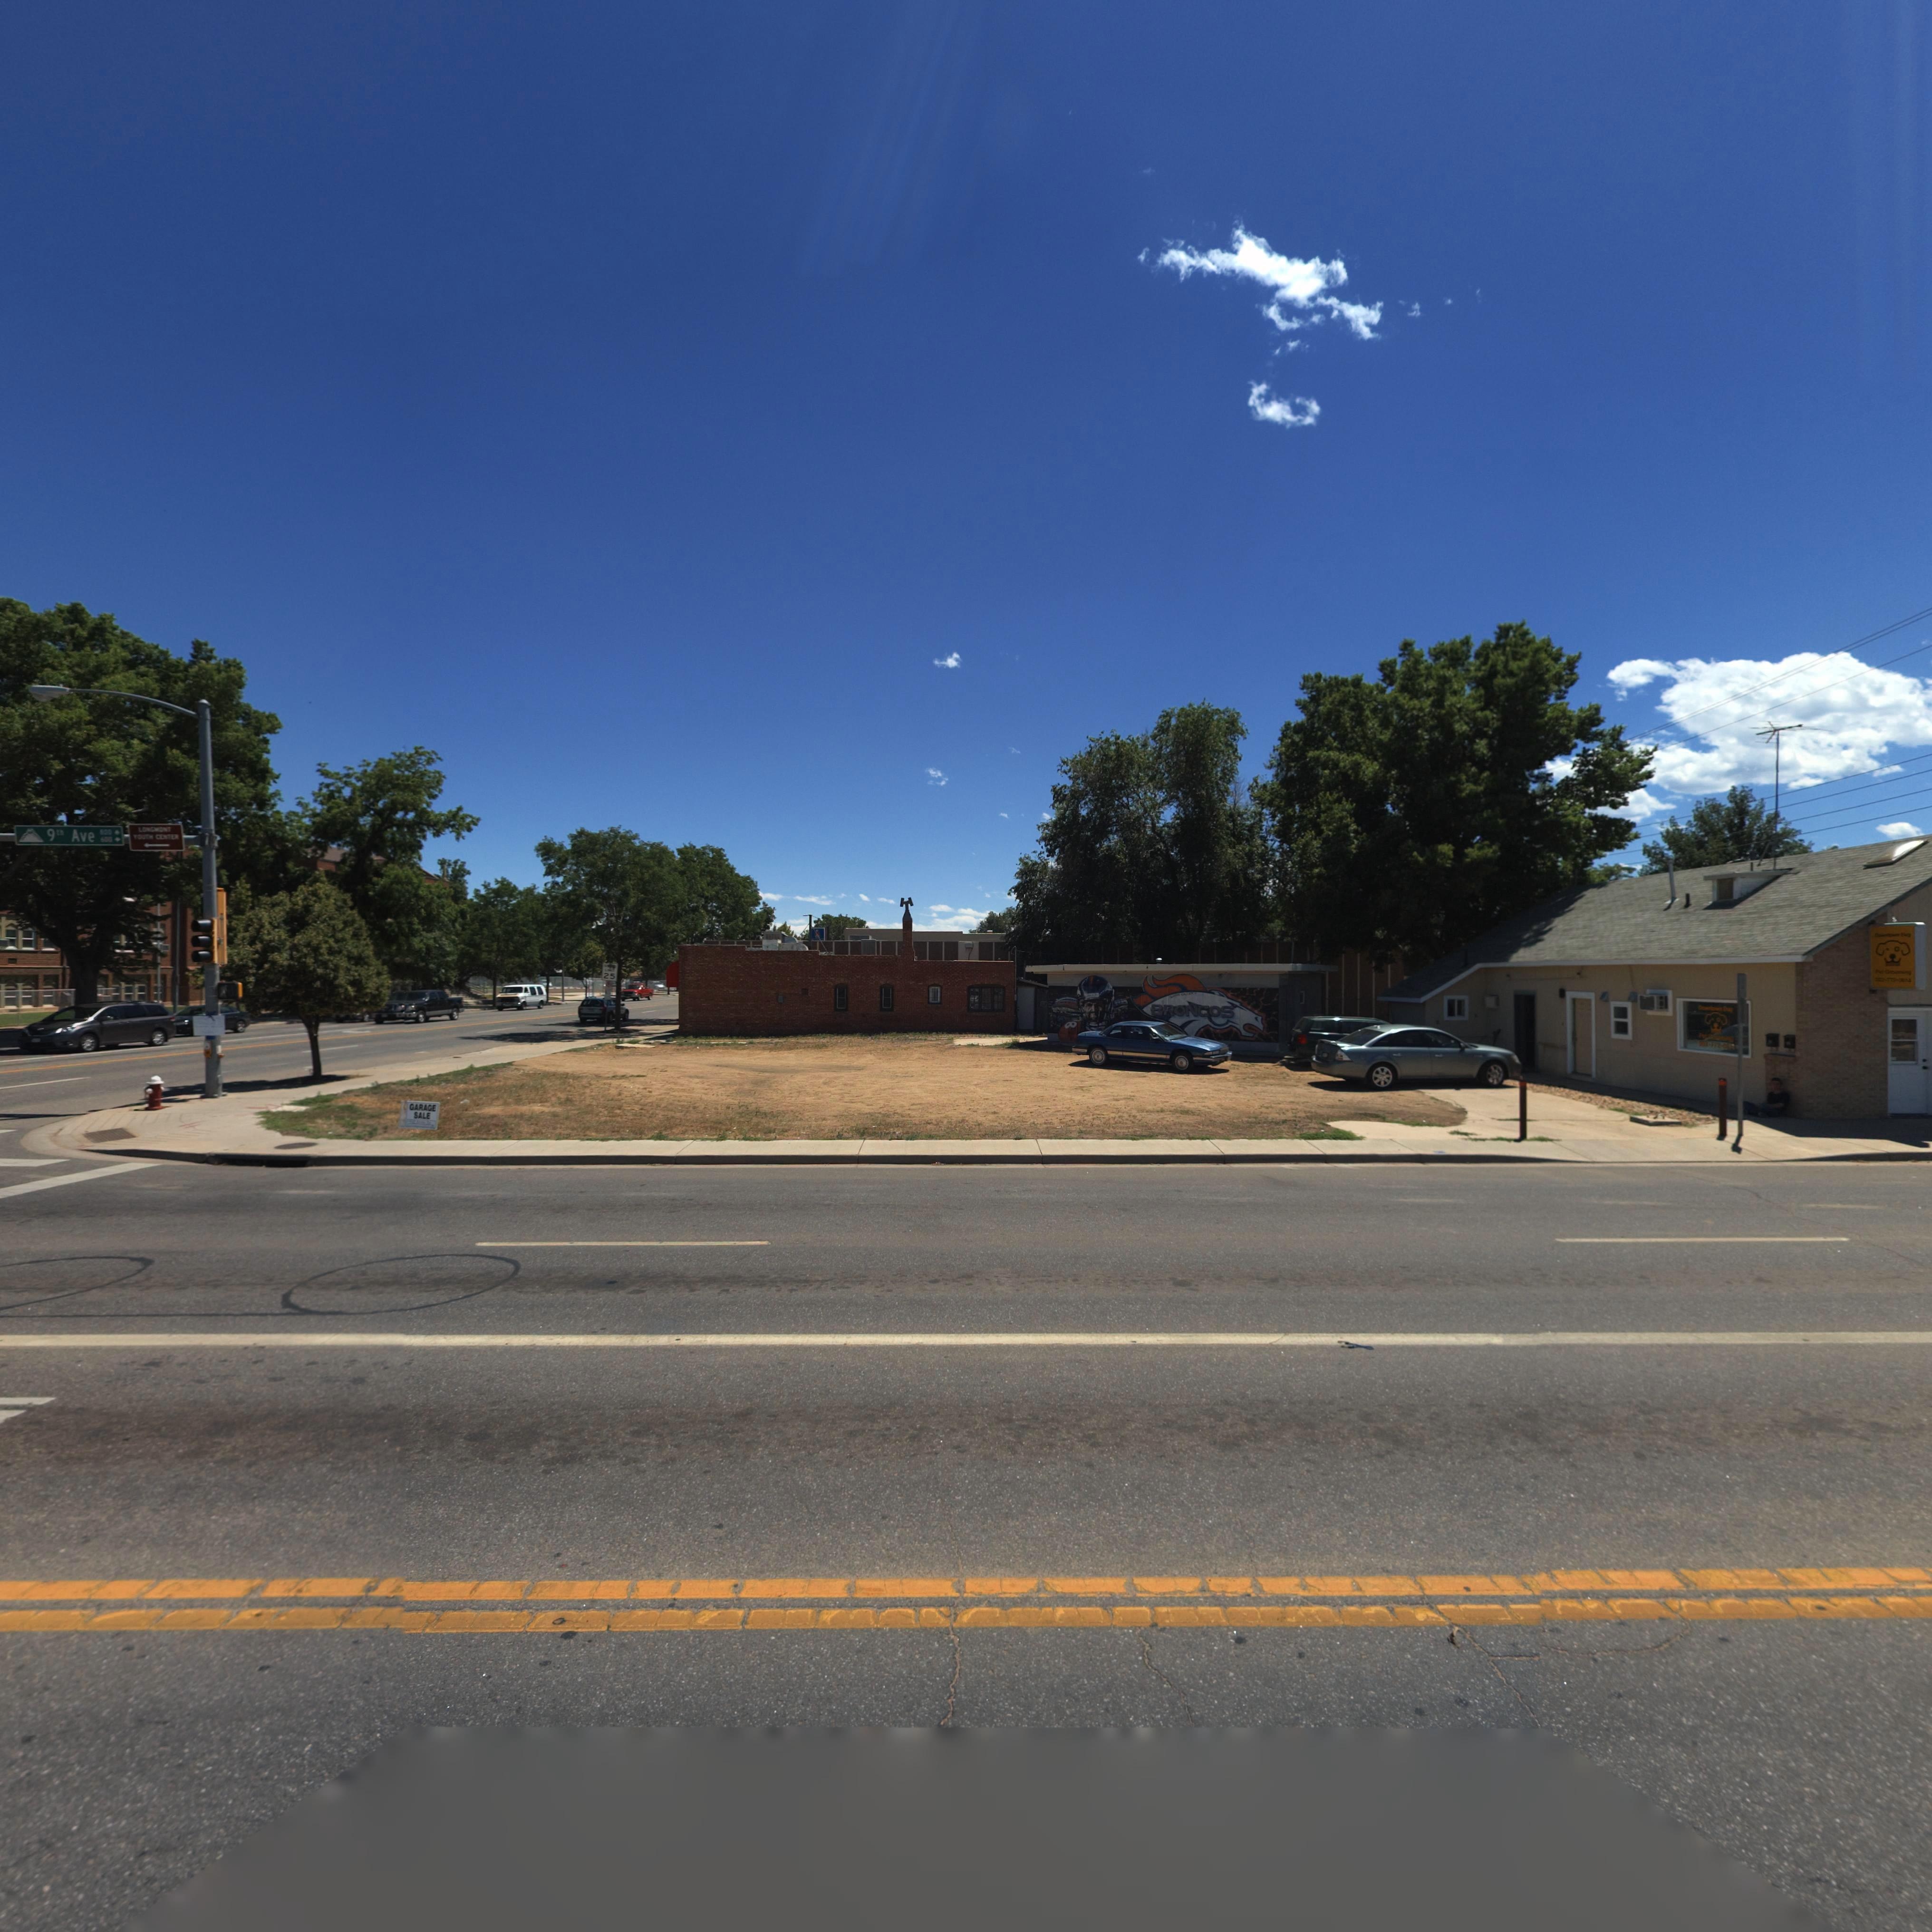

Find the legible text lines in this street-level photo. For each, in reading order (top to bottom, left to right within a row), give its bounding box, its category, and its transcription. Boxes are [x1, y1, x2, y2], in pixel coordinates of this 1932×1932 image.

[46, 828, 96, 843] StreetName: 9th Ave
[99, 829, 113, 835] StreetNumberRange: *00
[100, 836, 121, 842] StreetNumberRange: 600 ->
[1874, 932, 1911, 938] BusinessName: Downtown Dog
[1874, 968, 1913, 976] BusinessName: P** *******g
[1698, 1005, 1734, 1014] BusinessName: Do**to* Dog
[1698, 1033, 1734, 1043] BusinessName: P** *******g